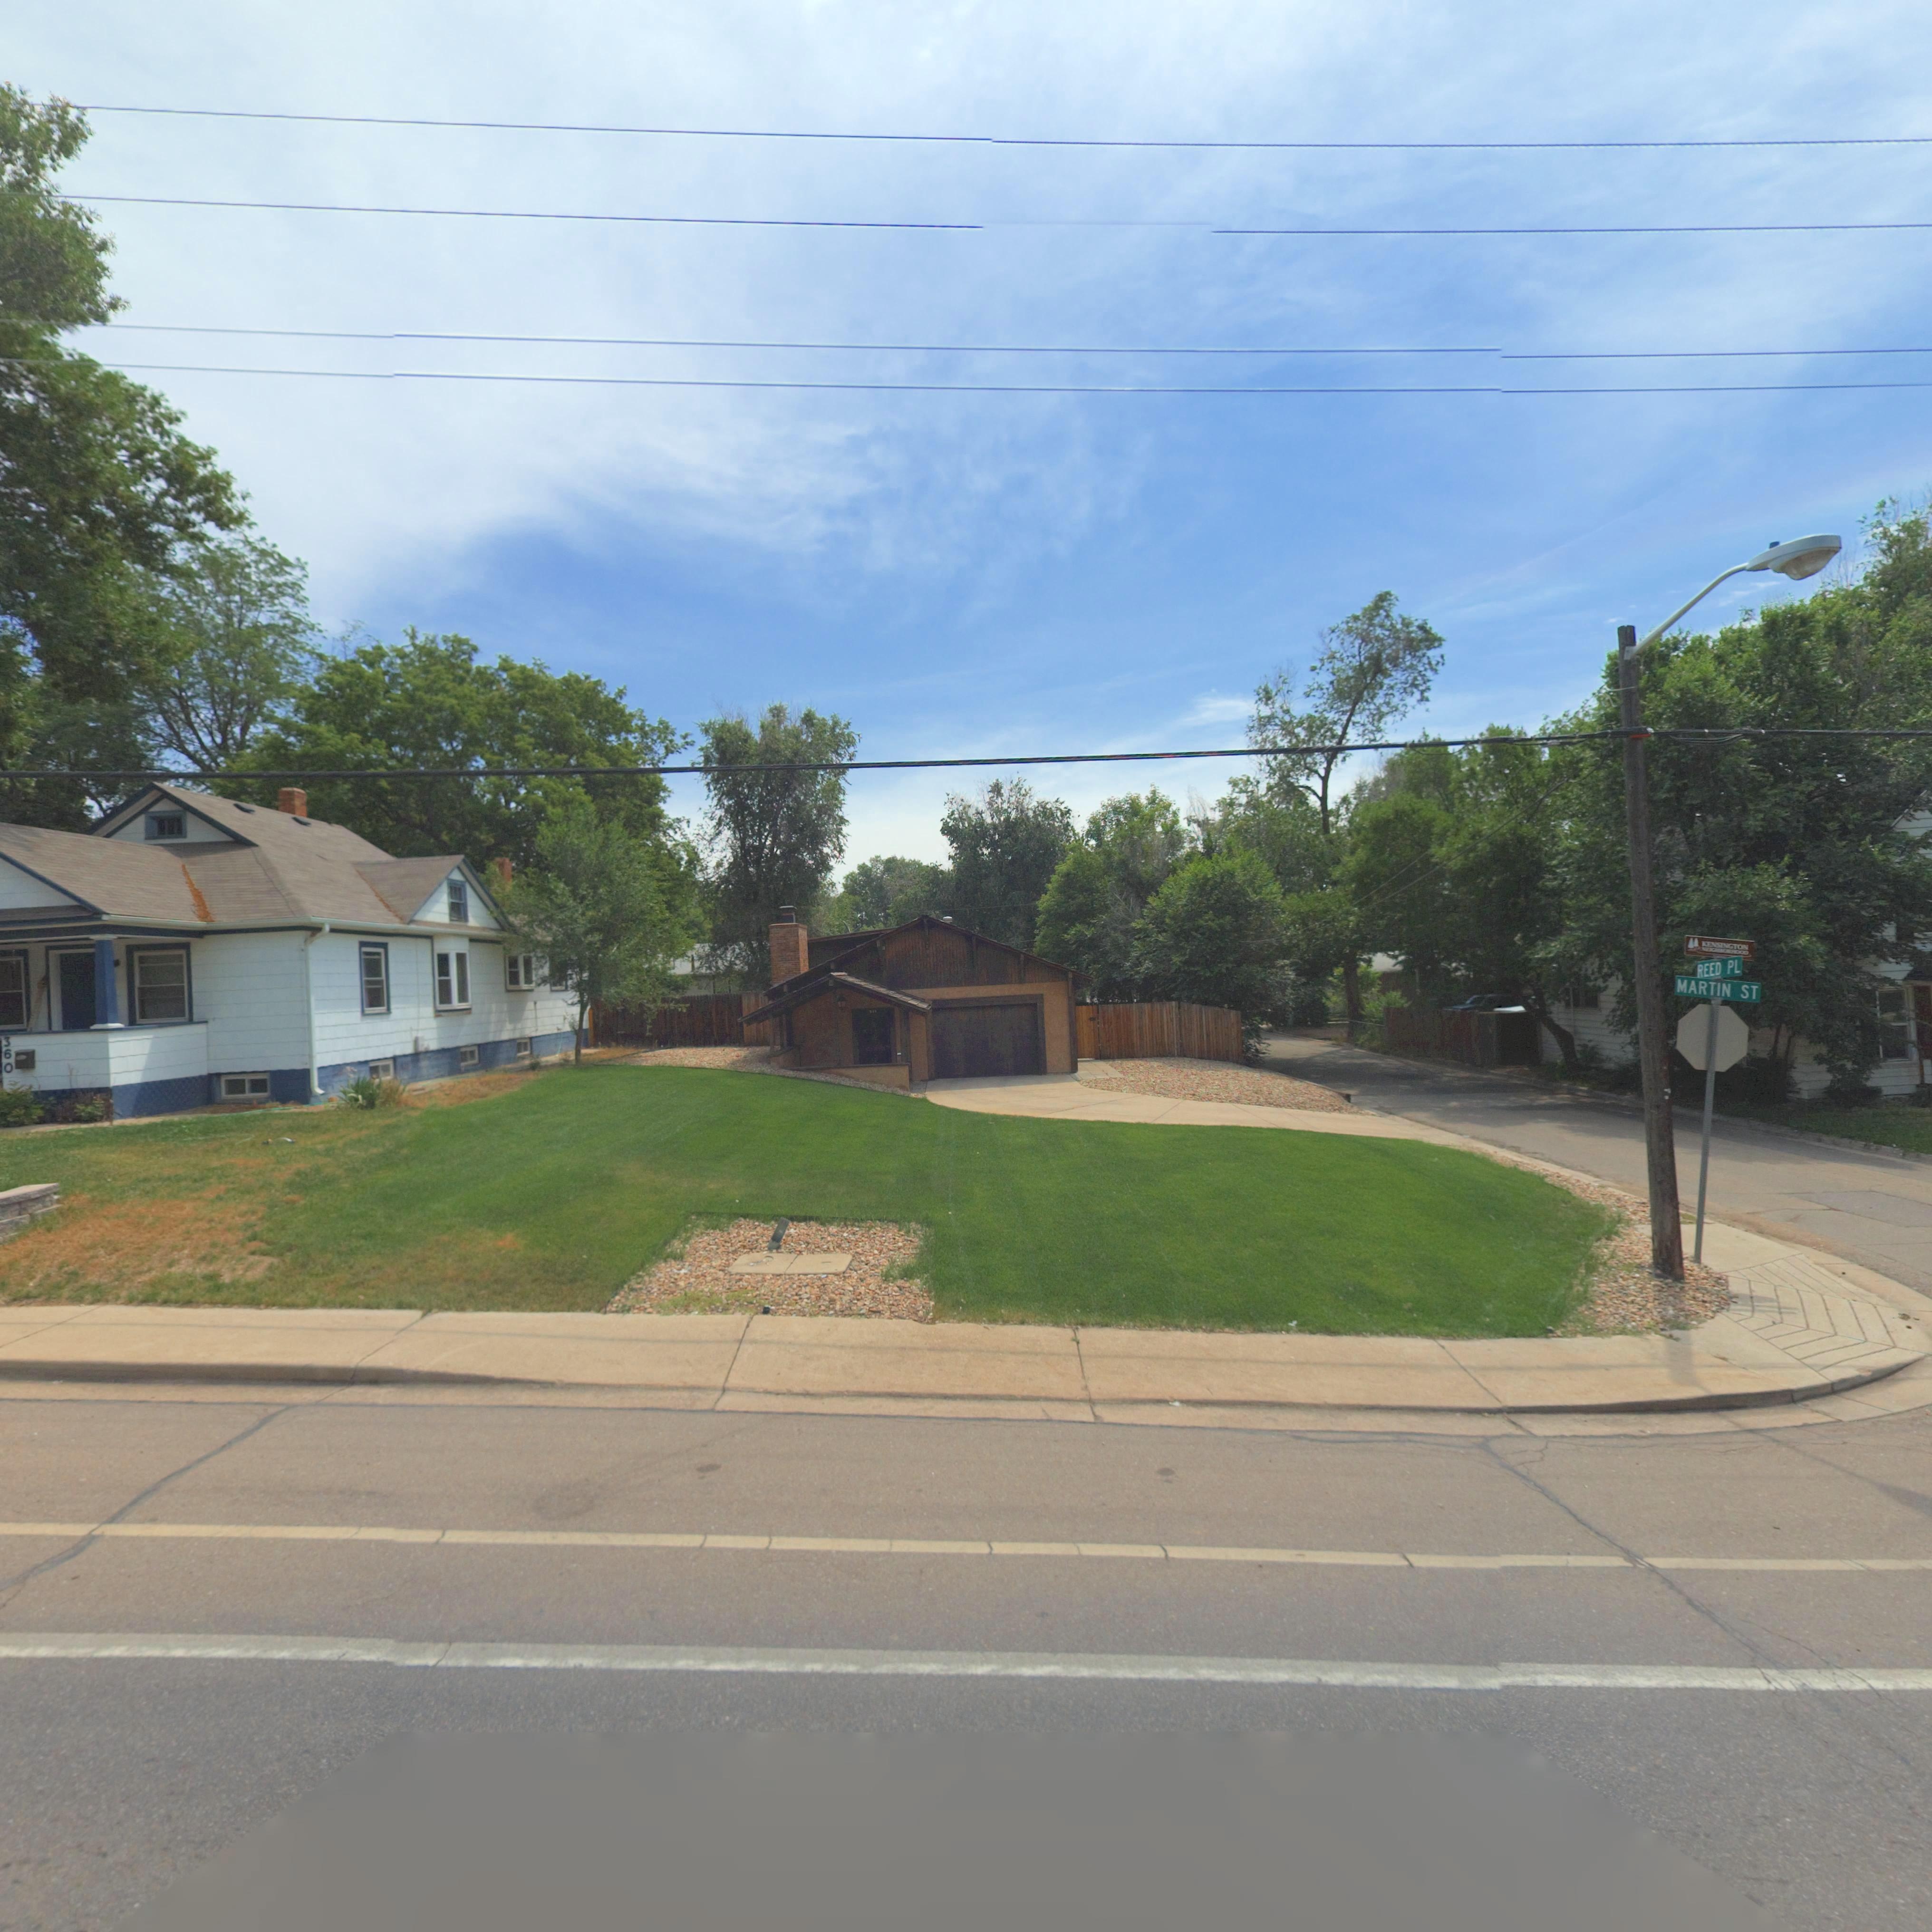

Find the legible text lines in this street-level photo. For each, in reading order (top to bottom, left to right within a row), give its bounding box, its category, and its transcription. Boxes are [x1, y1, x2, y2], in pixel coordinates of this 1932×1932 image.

[1695, 956, 1743, 978] StreetName: REED PL
[1676, 979, 1759, 999] StreetName: MARIN ST
[2, 1037, 13, 1073] StreetNumber: 360